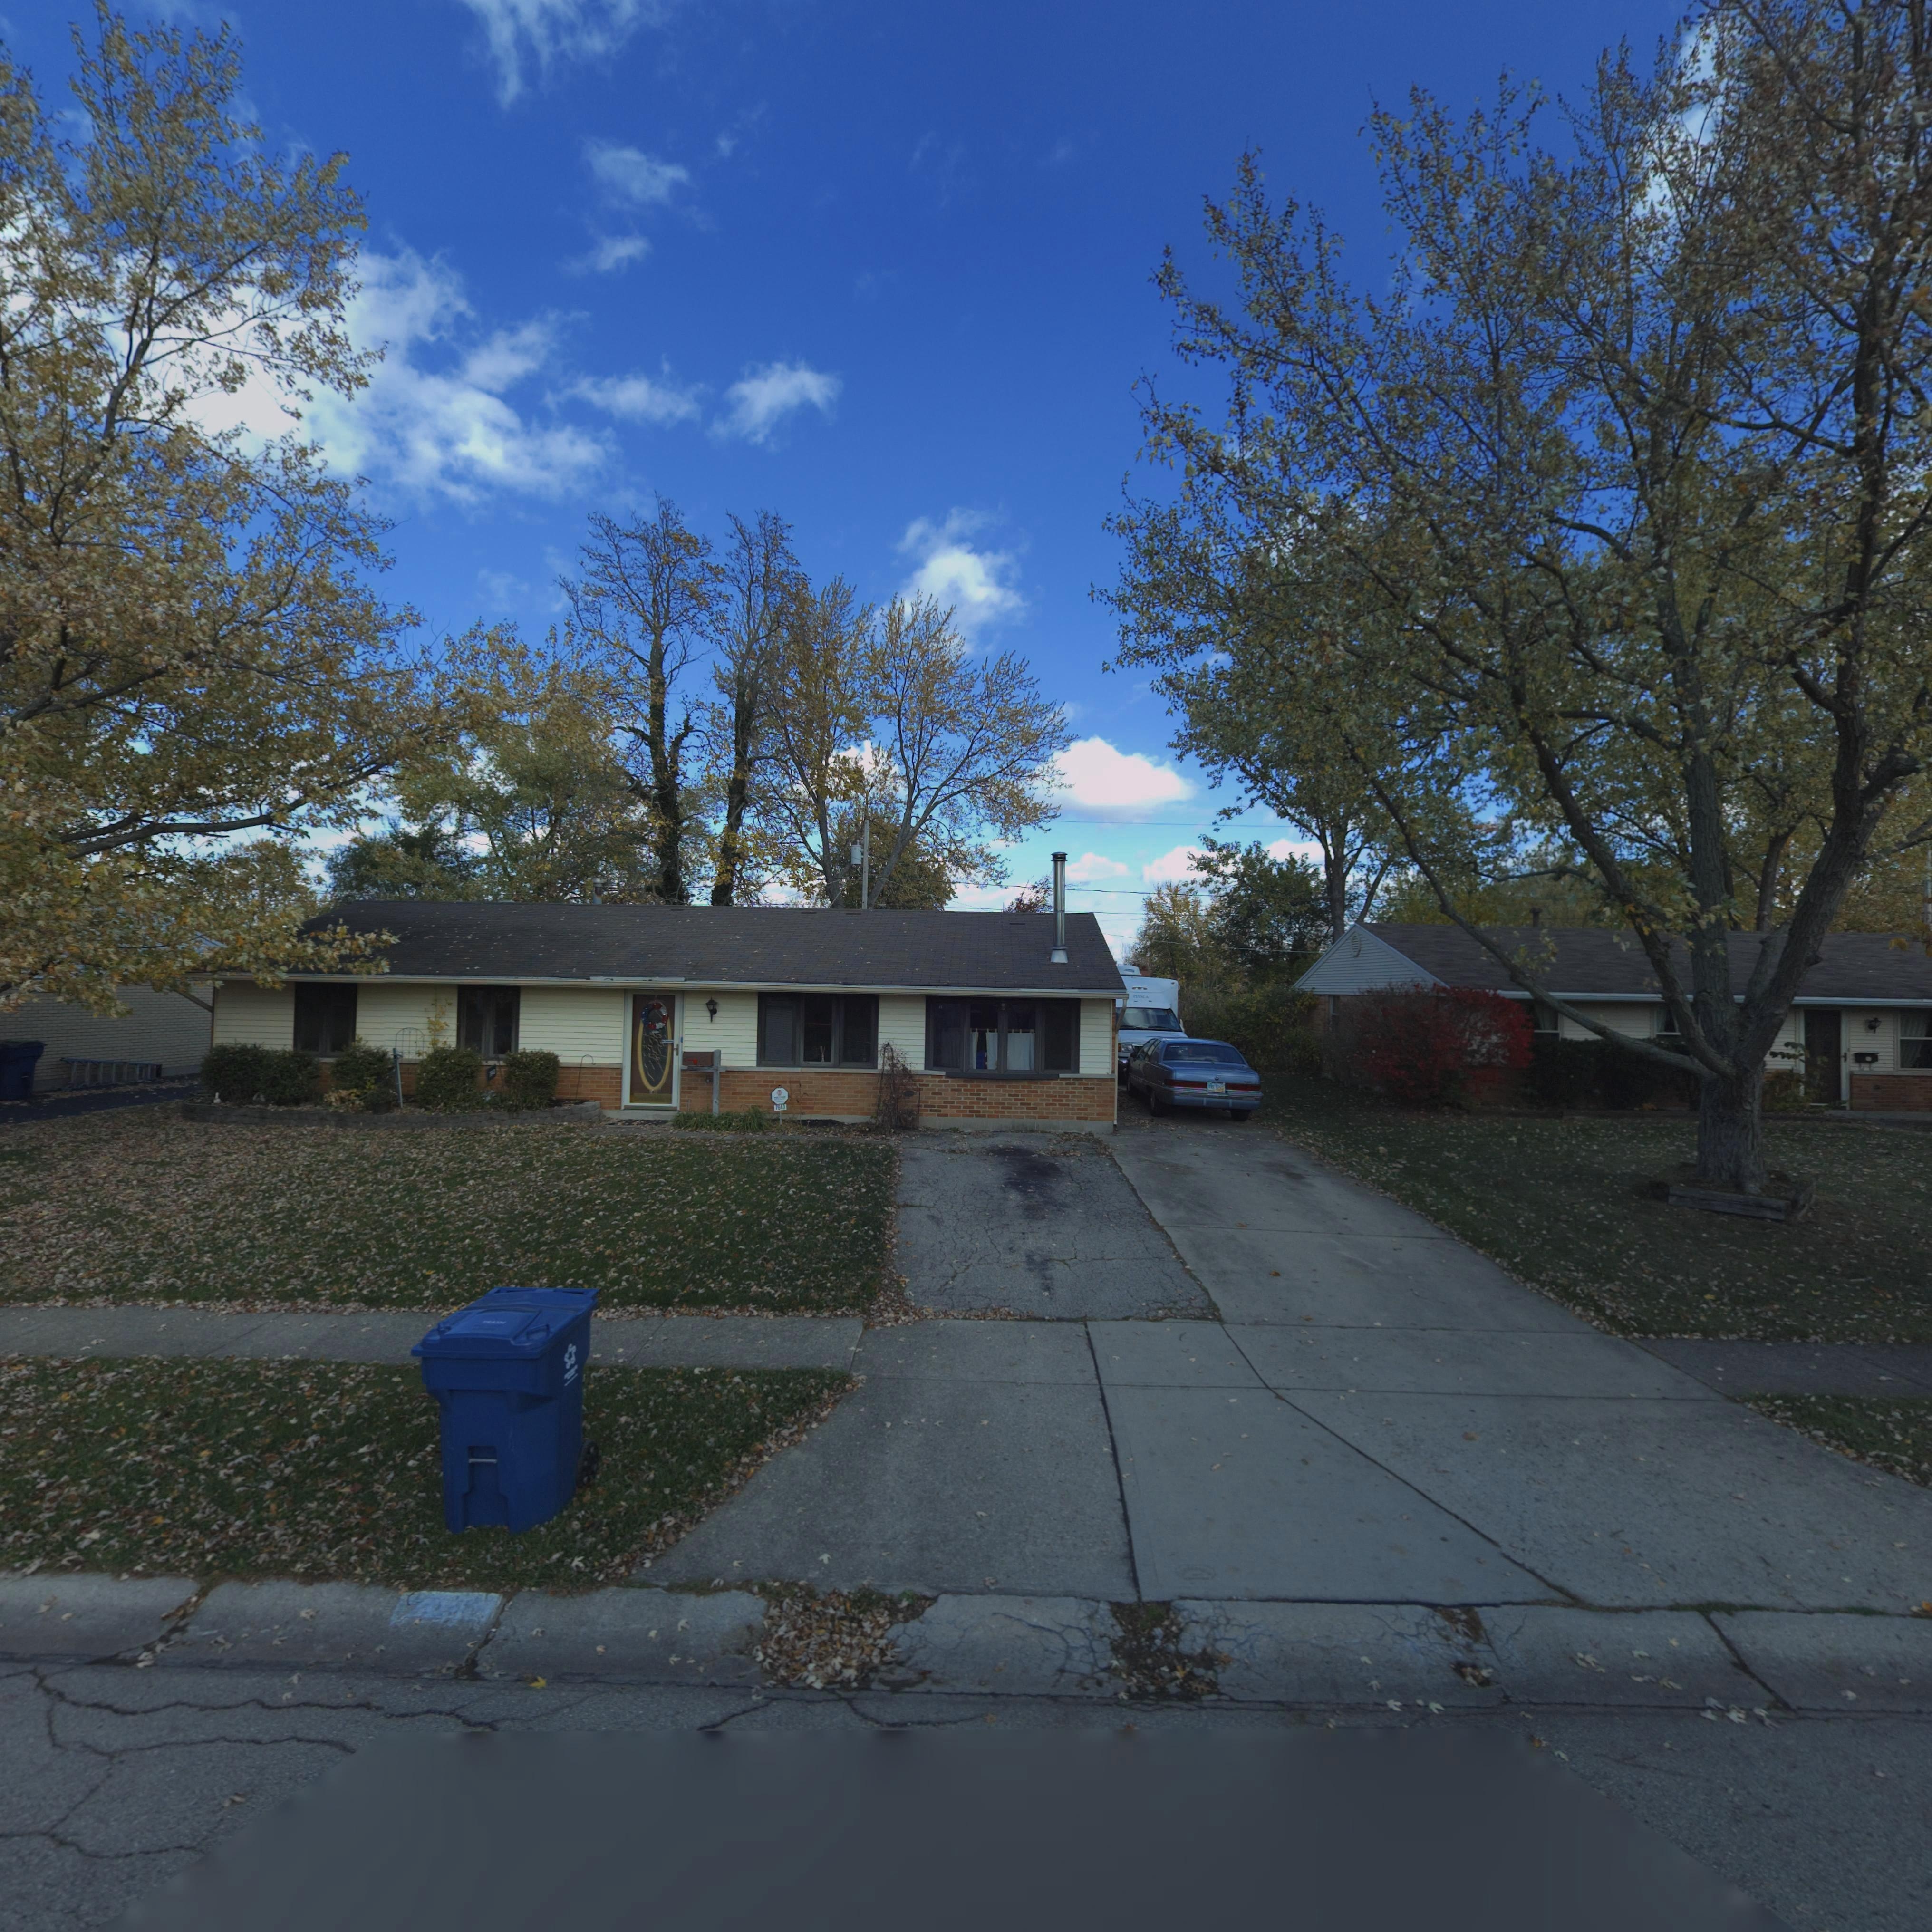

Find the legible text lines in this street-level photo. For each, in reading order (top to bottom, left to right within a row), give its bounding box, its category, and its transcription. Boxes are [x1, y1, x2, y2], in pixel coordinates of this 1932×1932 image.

[774, 1104, 786, 1110] StreetNumber: 7843